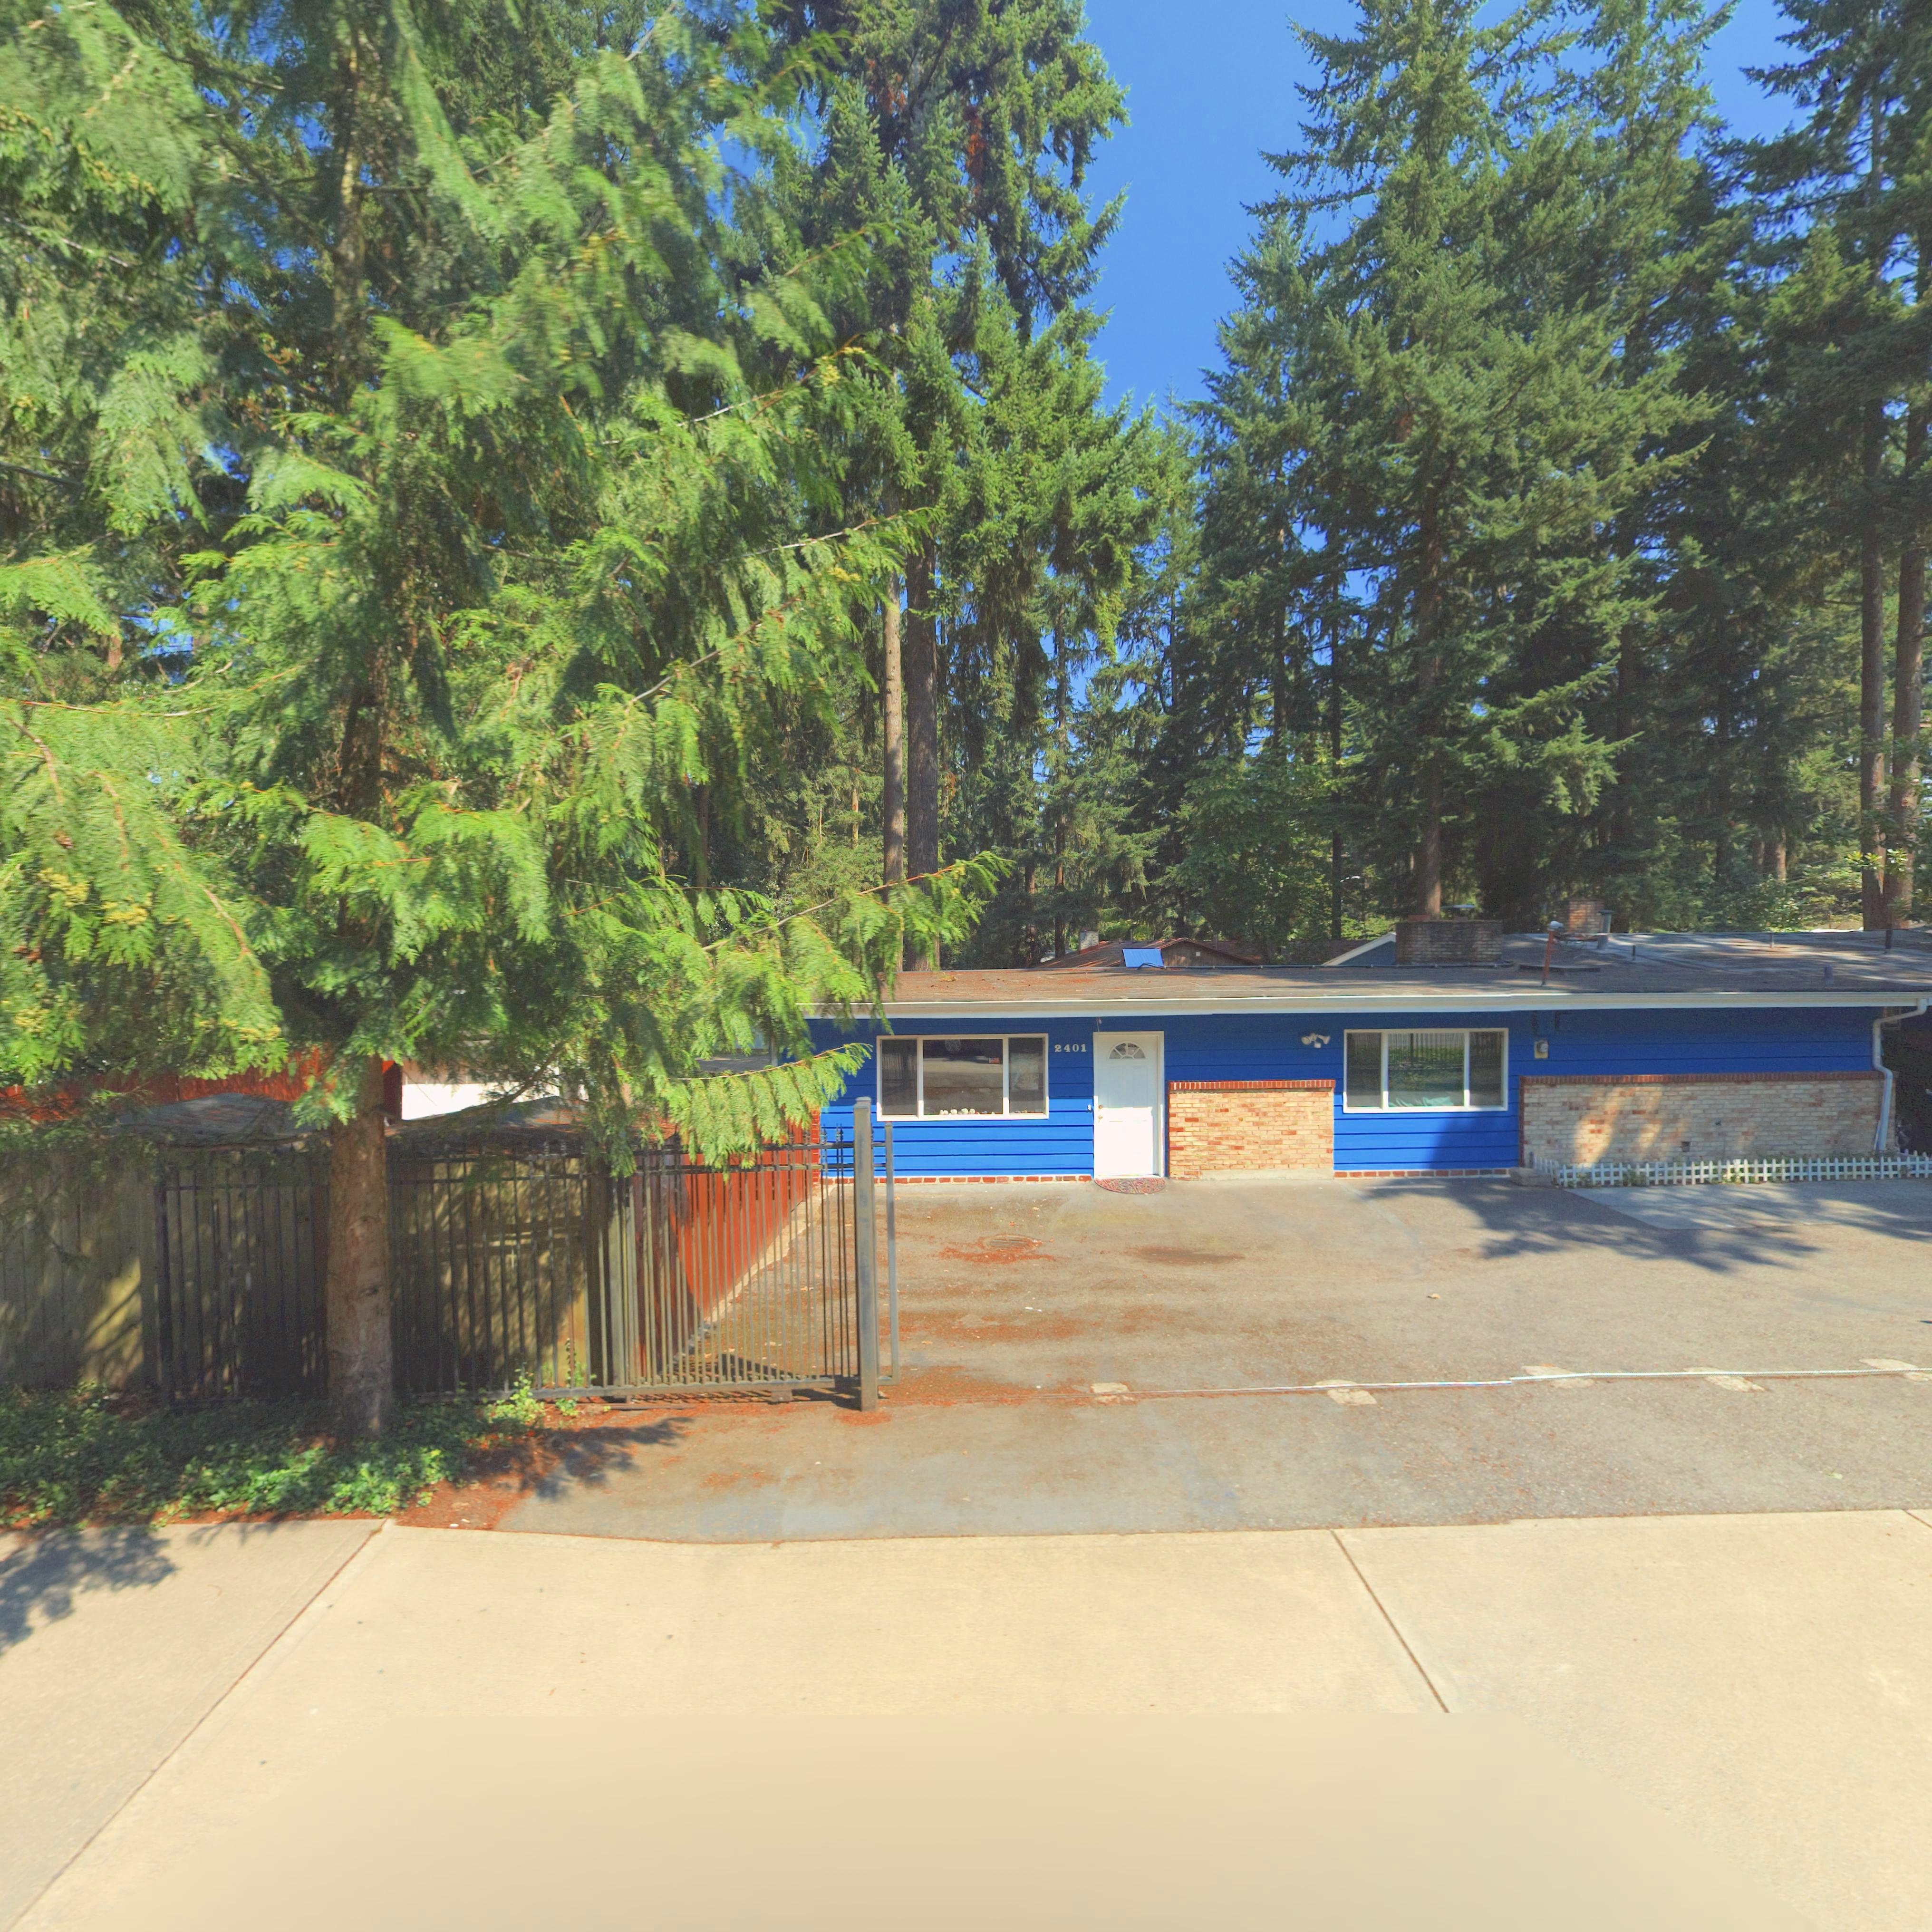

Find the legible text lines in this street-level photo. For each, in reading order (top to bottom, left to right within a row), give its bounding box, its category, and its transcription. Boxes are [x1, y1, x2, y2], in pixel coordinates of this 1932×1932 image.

[1053, 1043, 1088, 1053] StreetNumber: 2401